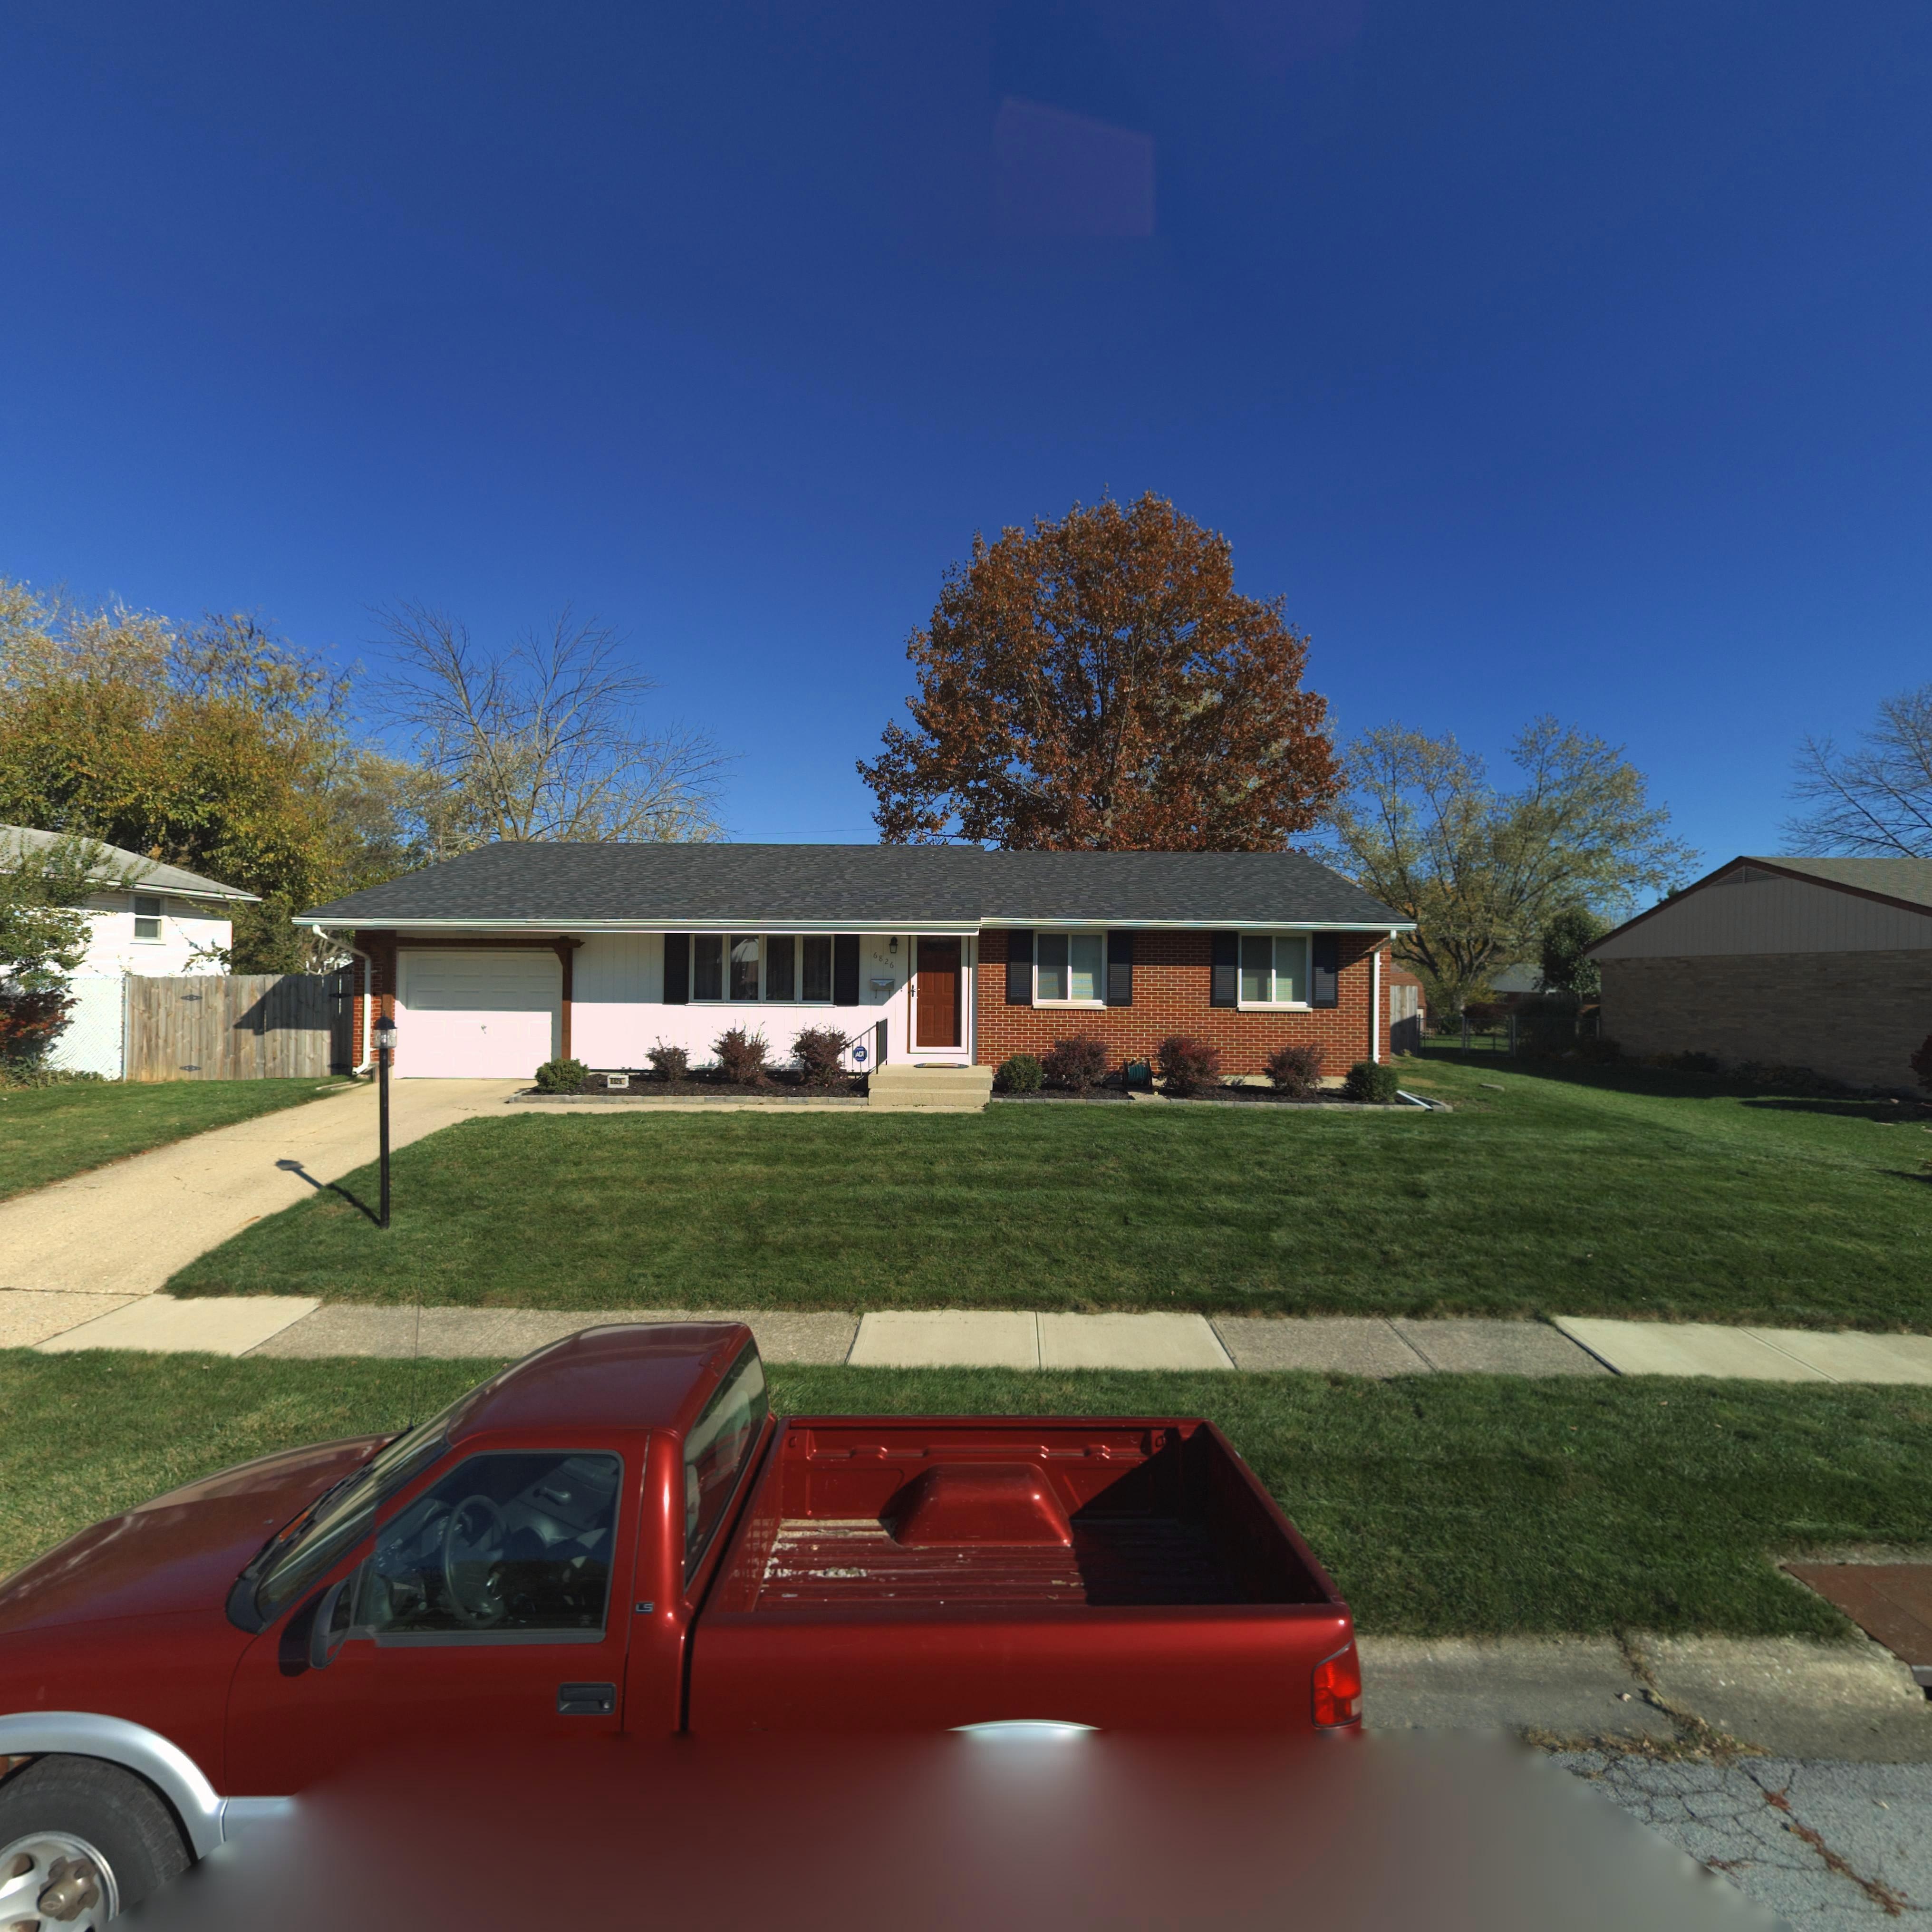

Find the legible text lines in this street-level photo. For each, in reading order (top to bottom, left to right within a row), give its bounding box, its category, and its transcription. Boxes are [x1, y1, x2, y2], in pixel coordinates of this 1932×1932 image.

[873, 951, 894, 969] StreetNumber: 6826
[610, 1078, 622, 1084] StreetNumber: 6826